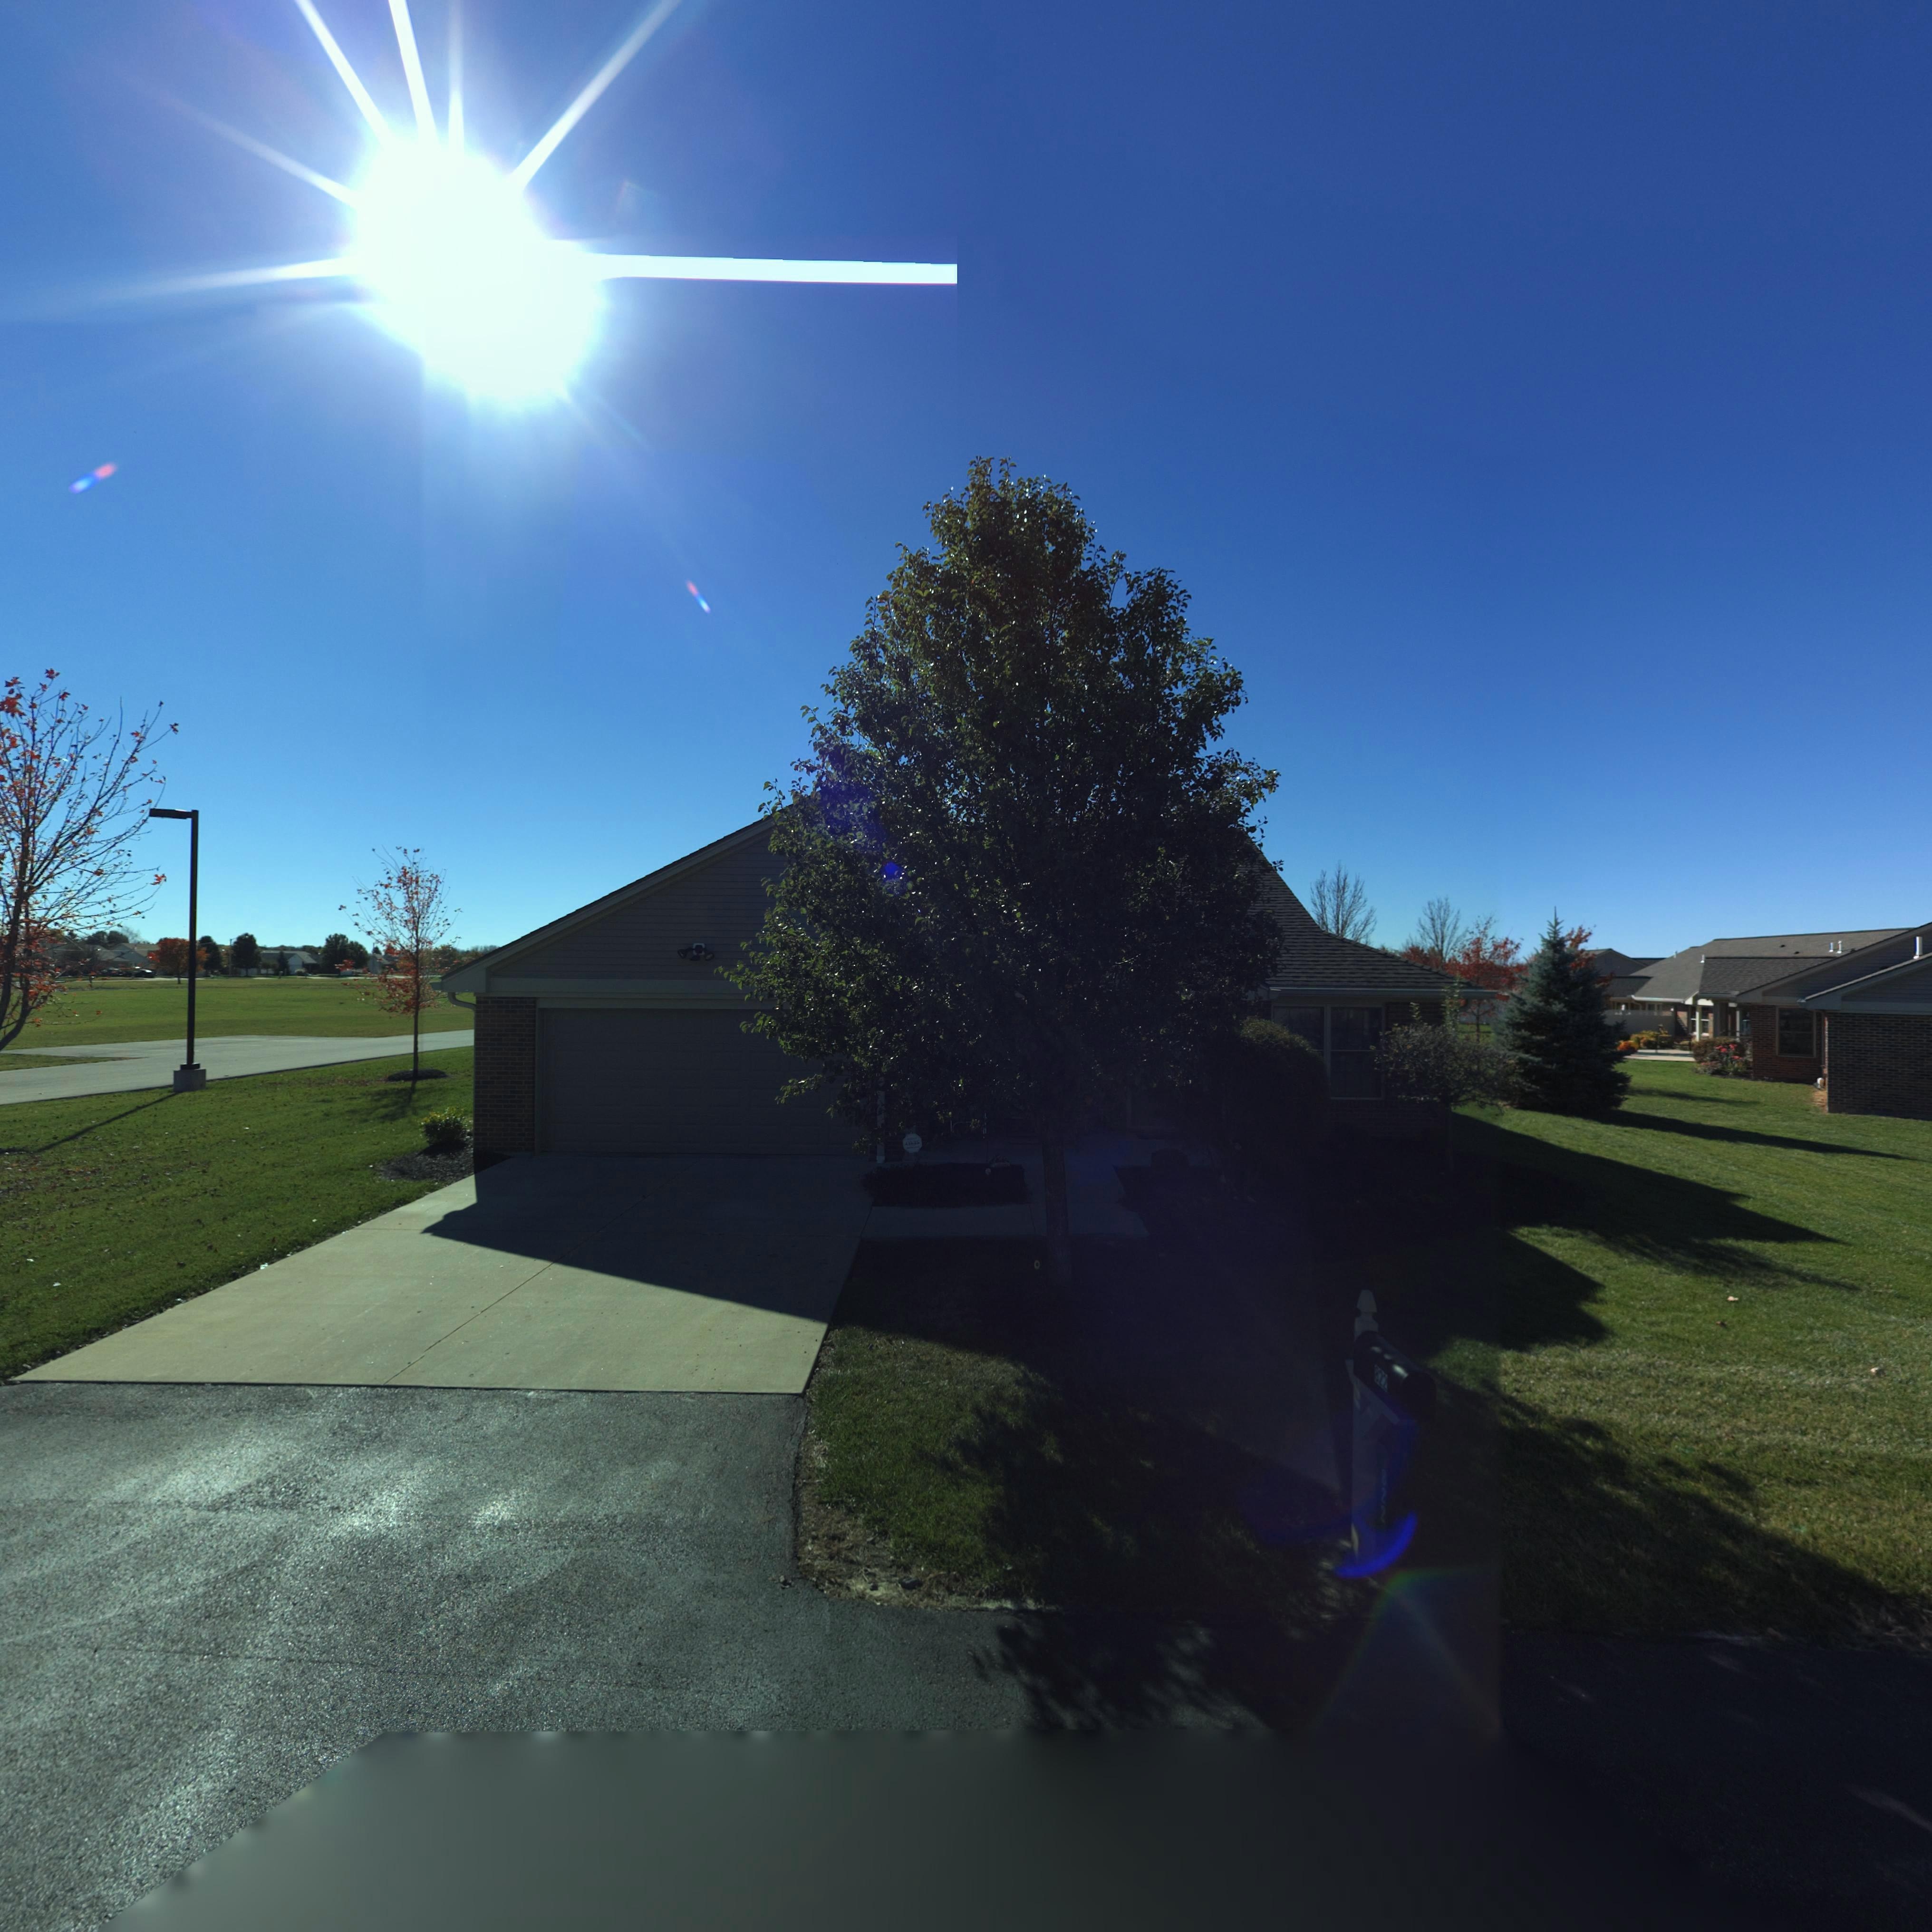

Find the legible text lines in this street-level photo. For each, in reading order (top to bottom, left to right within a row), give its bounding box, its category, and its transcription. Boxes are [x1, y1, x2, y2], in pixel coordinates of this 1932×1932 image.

[1373, 1364, 1388, 1393] StreetNumber: 822